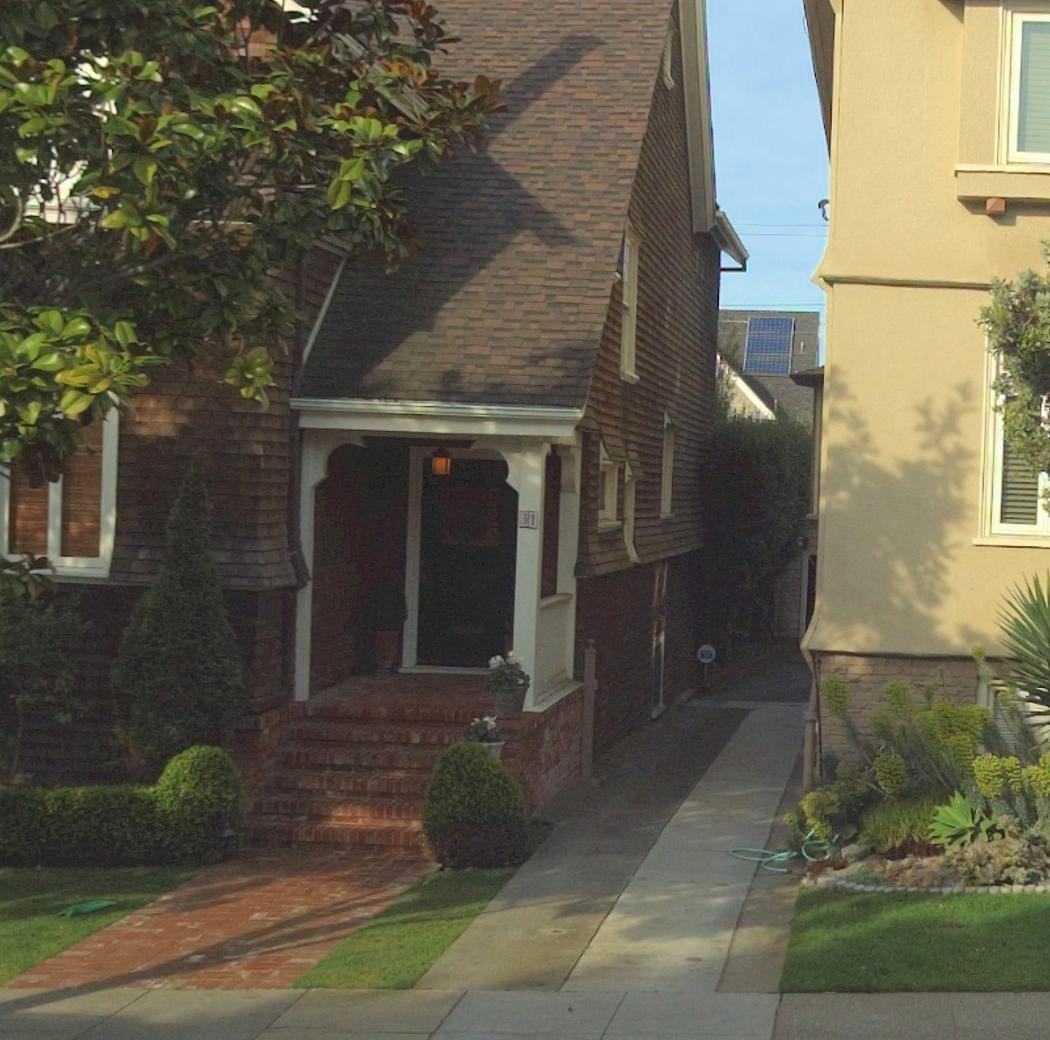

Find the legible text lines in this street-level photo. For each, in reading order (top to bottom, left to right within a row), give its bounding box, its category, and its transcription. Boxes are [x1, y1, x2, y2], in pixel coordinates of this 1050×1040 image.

[518, 510, 537, 527] StreetNumber: 31